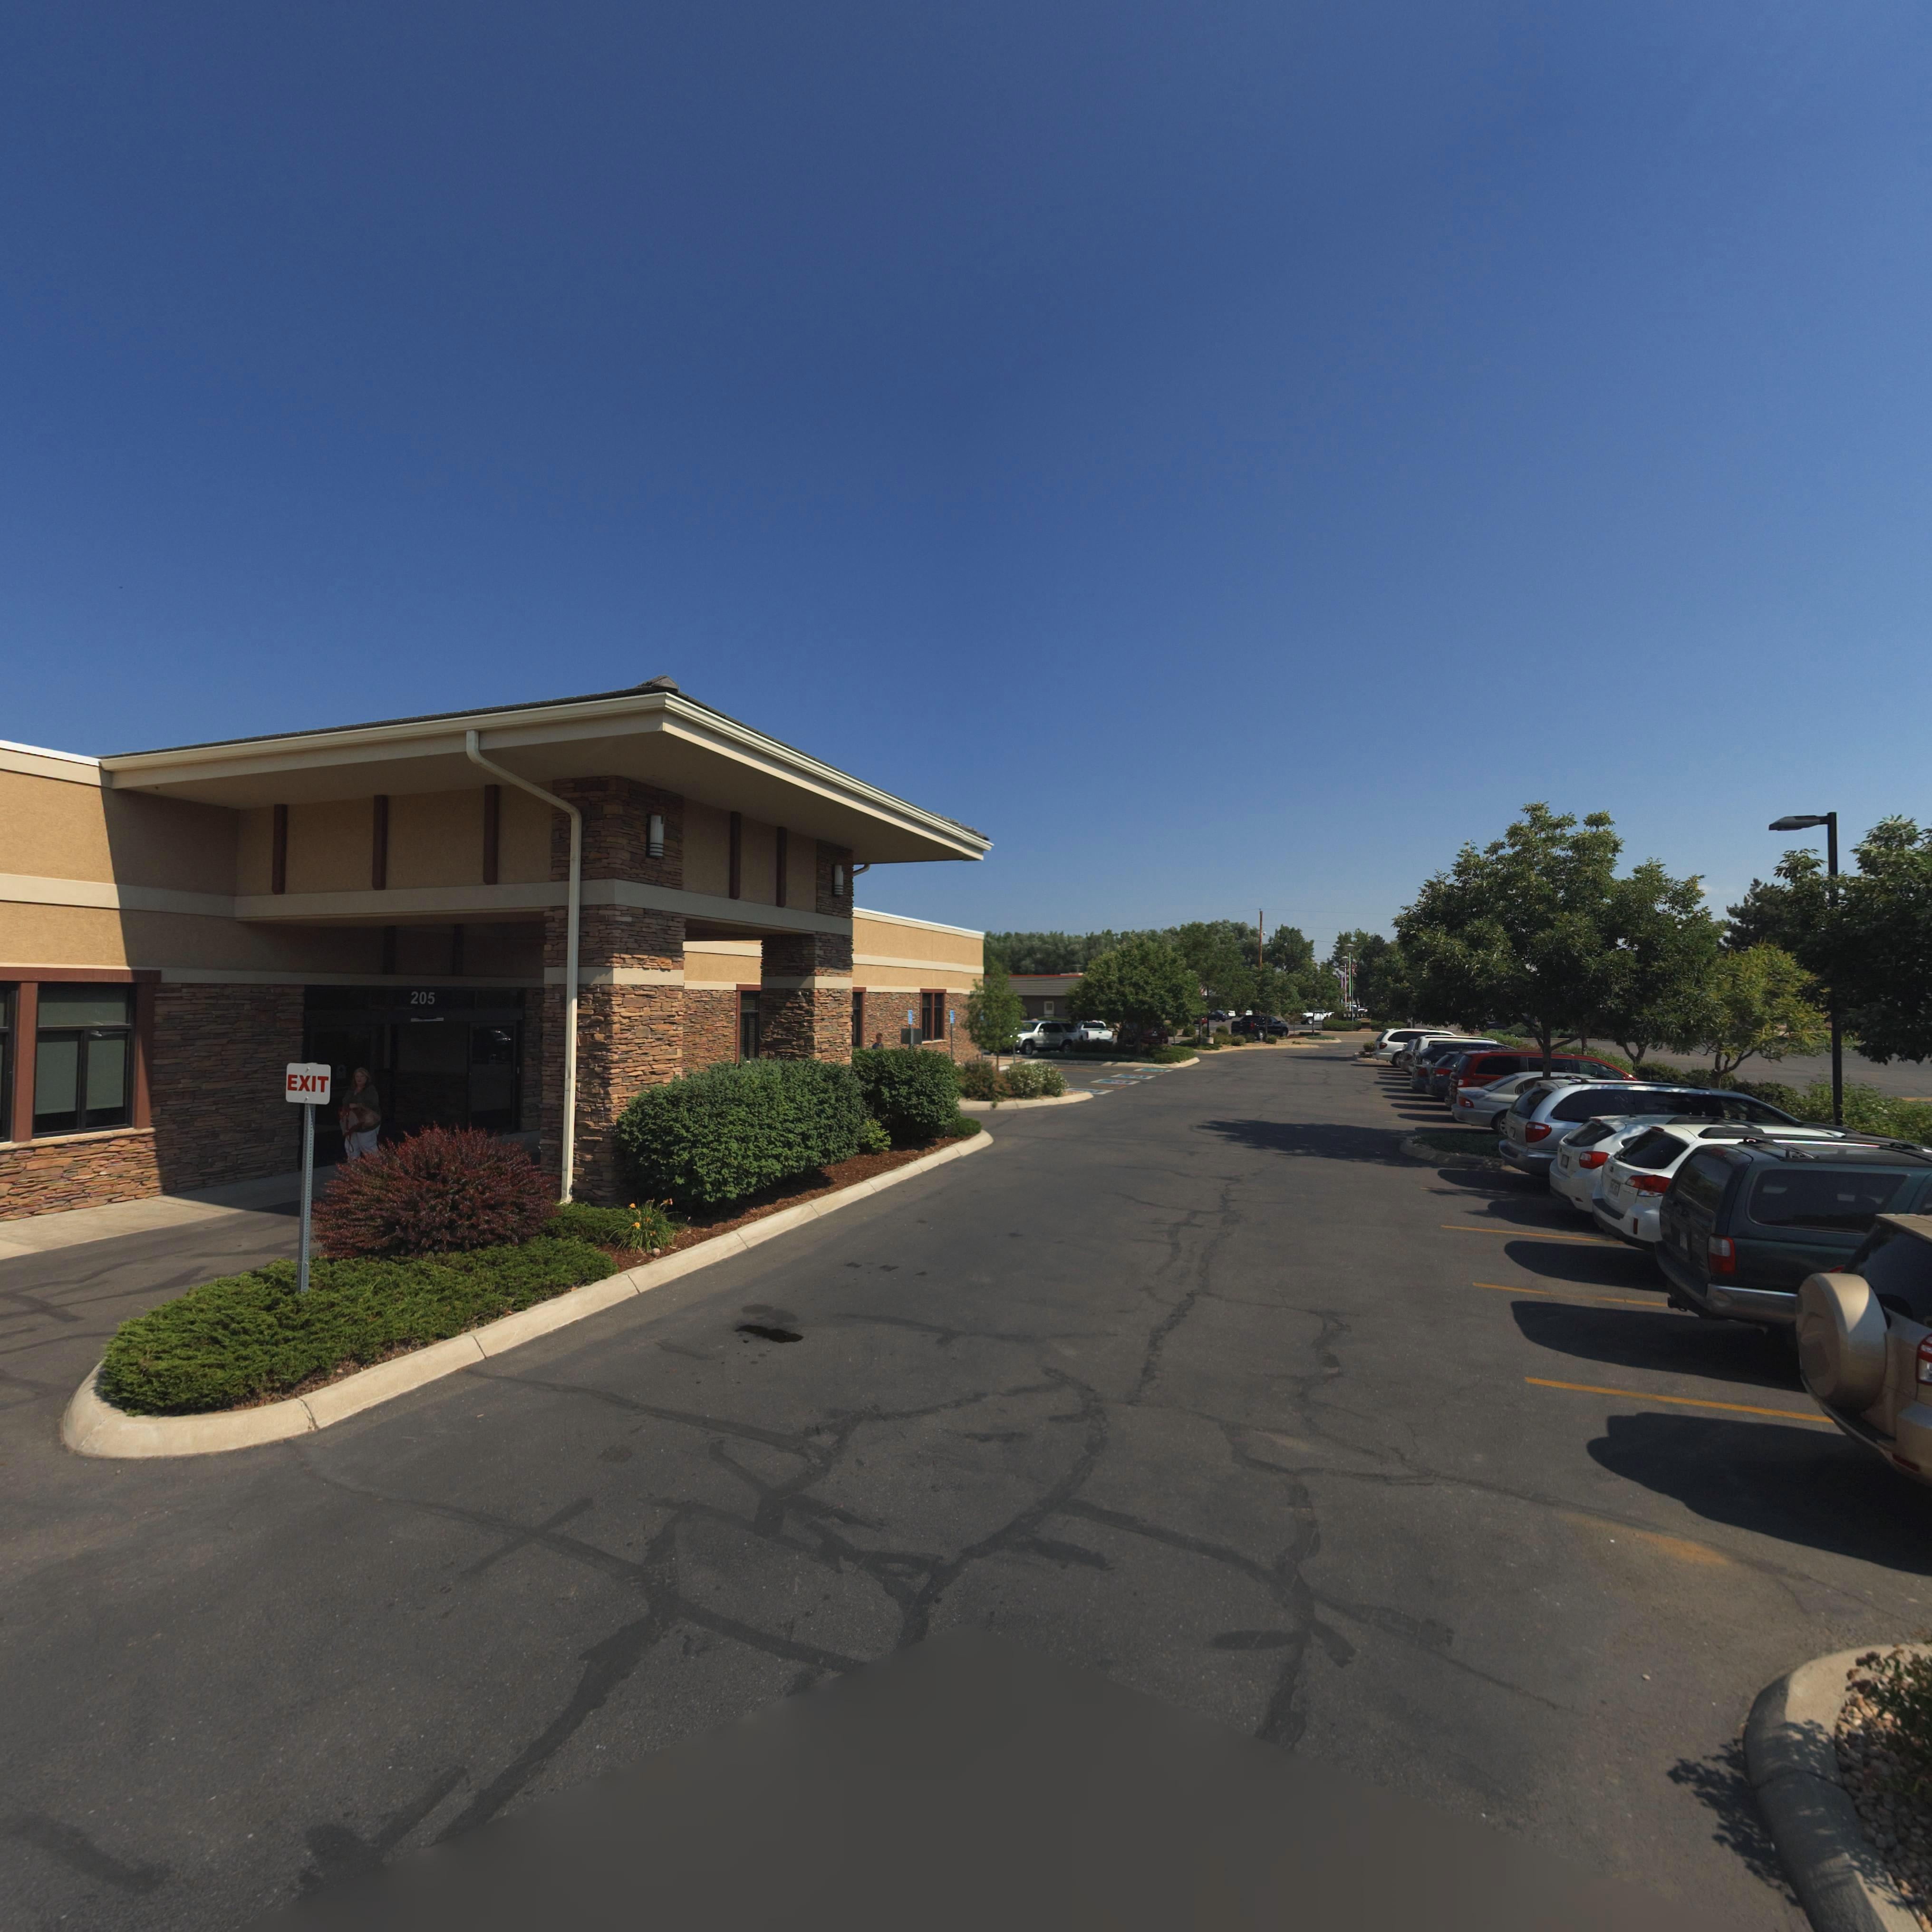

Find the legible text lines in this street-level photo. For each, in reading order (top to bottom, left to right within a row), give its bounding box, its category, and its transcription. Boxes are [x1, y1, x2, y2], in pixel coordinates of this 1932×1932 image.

[409, 990, 435, 1006] StreetNumber: 205